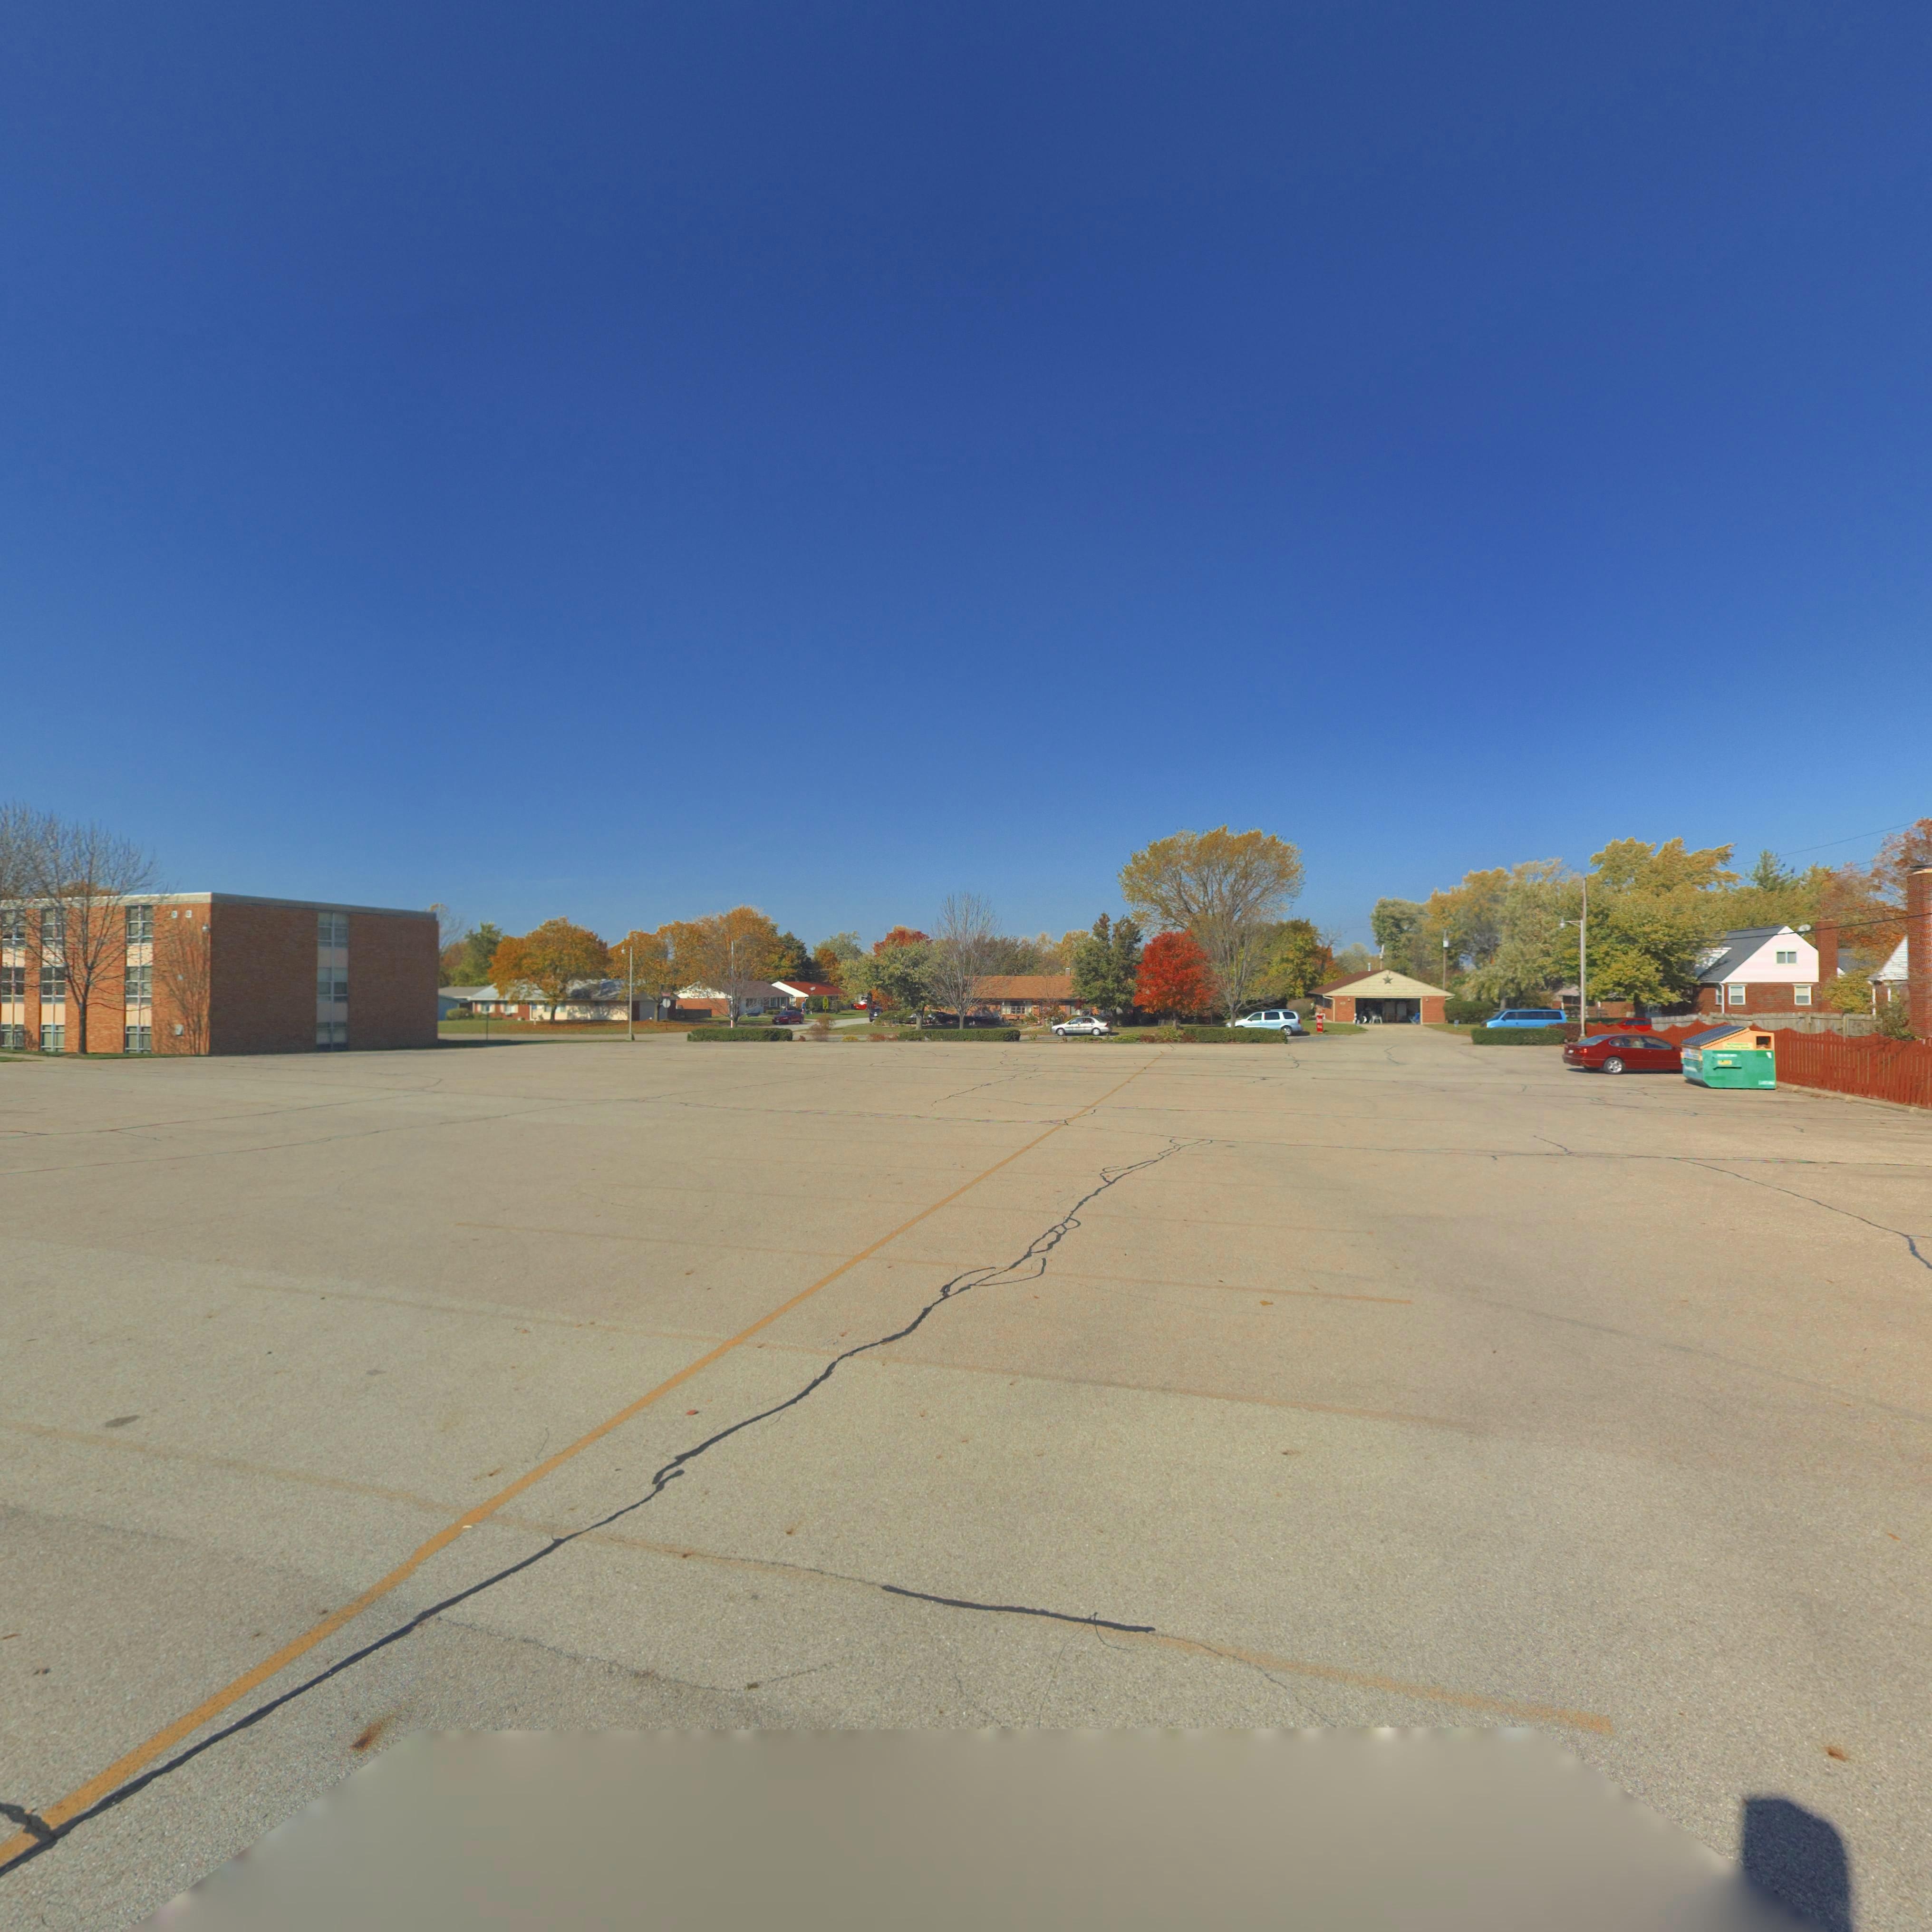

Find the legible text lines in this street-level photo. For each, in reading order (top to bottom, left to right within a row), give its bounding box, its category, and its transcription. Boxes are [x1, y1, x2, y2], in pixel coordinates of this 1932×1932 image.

[1316, 1017, 1319, 1023] None: S